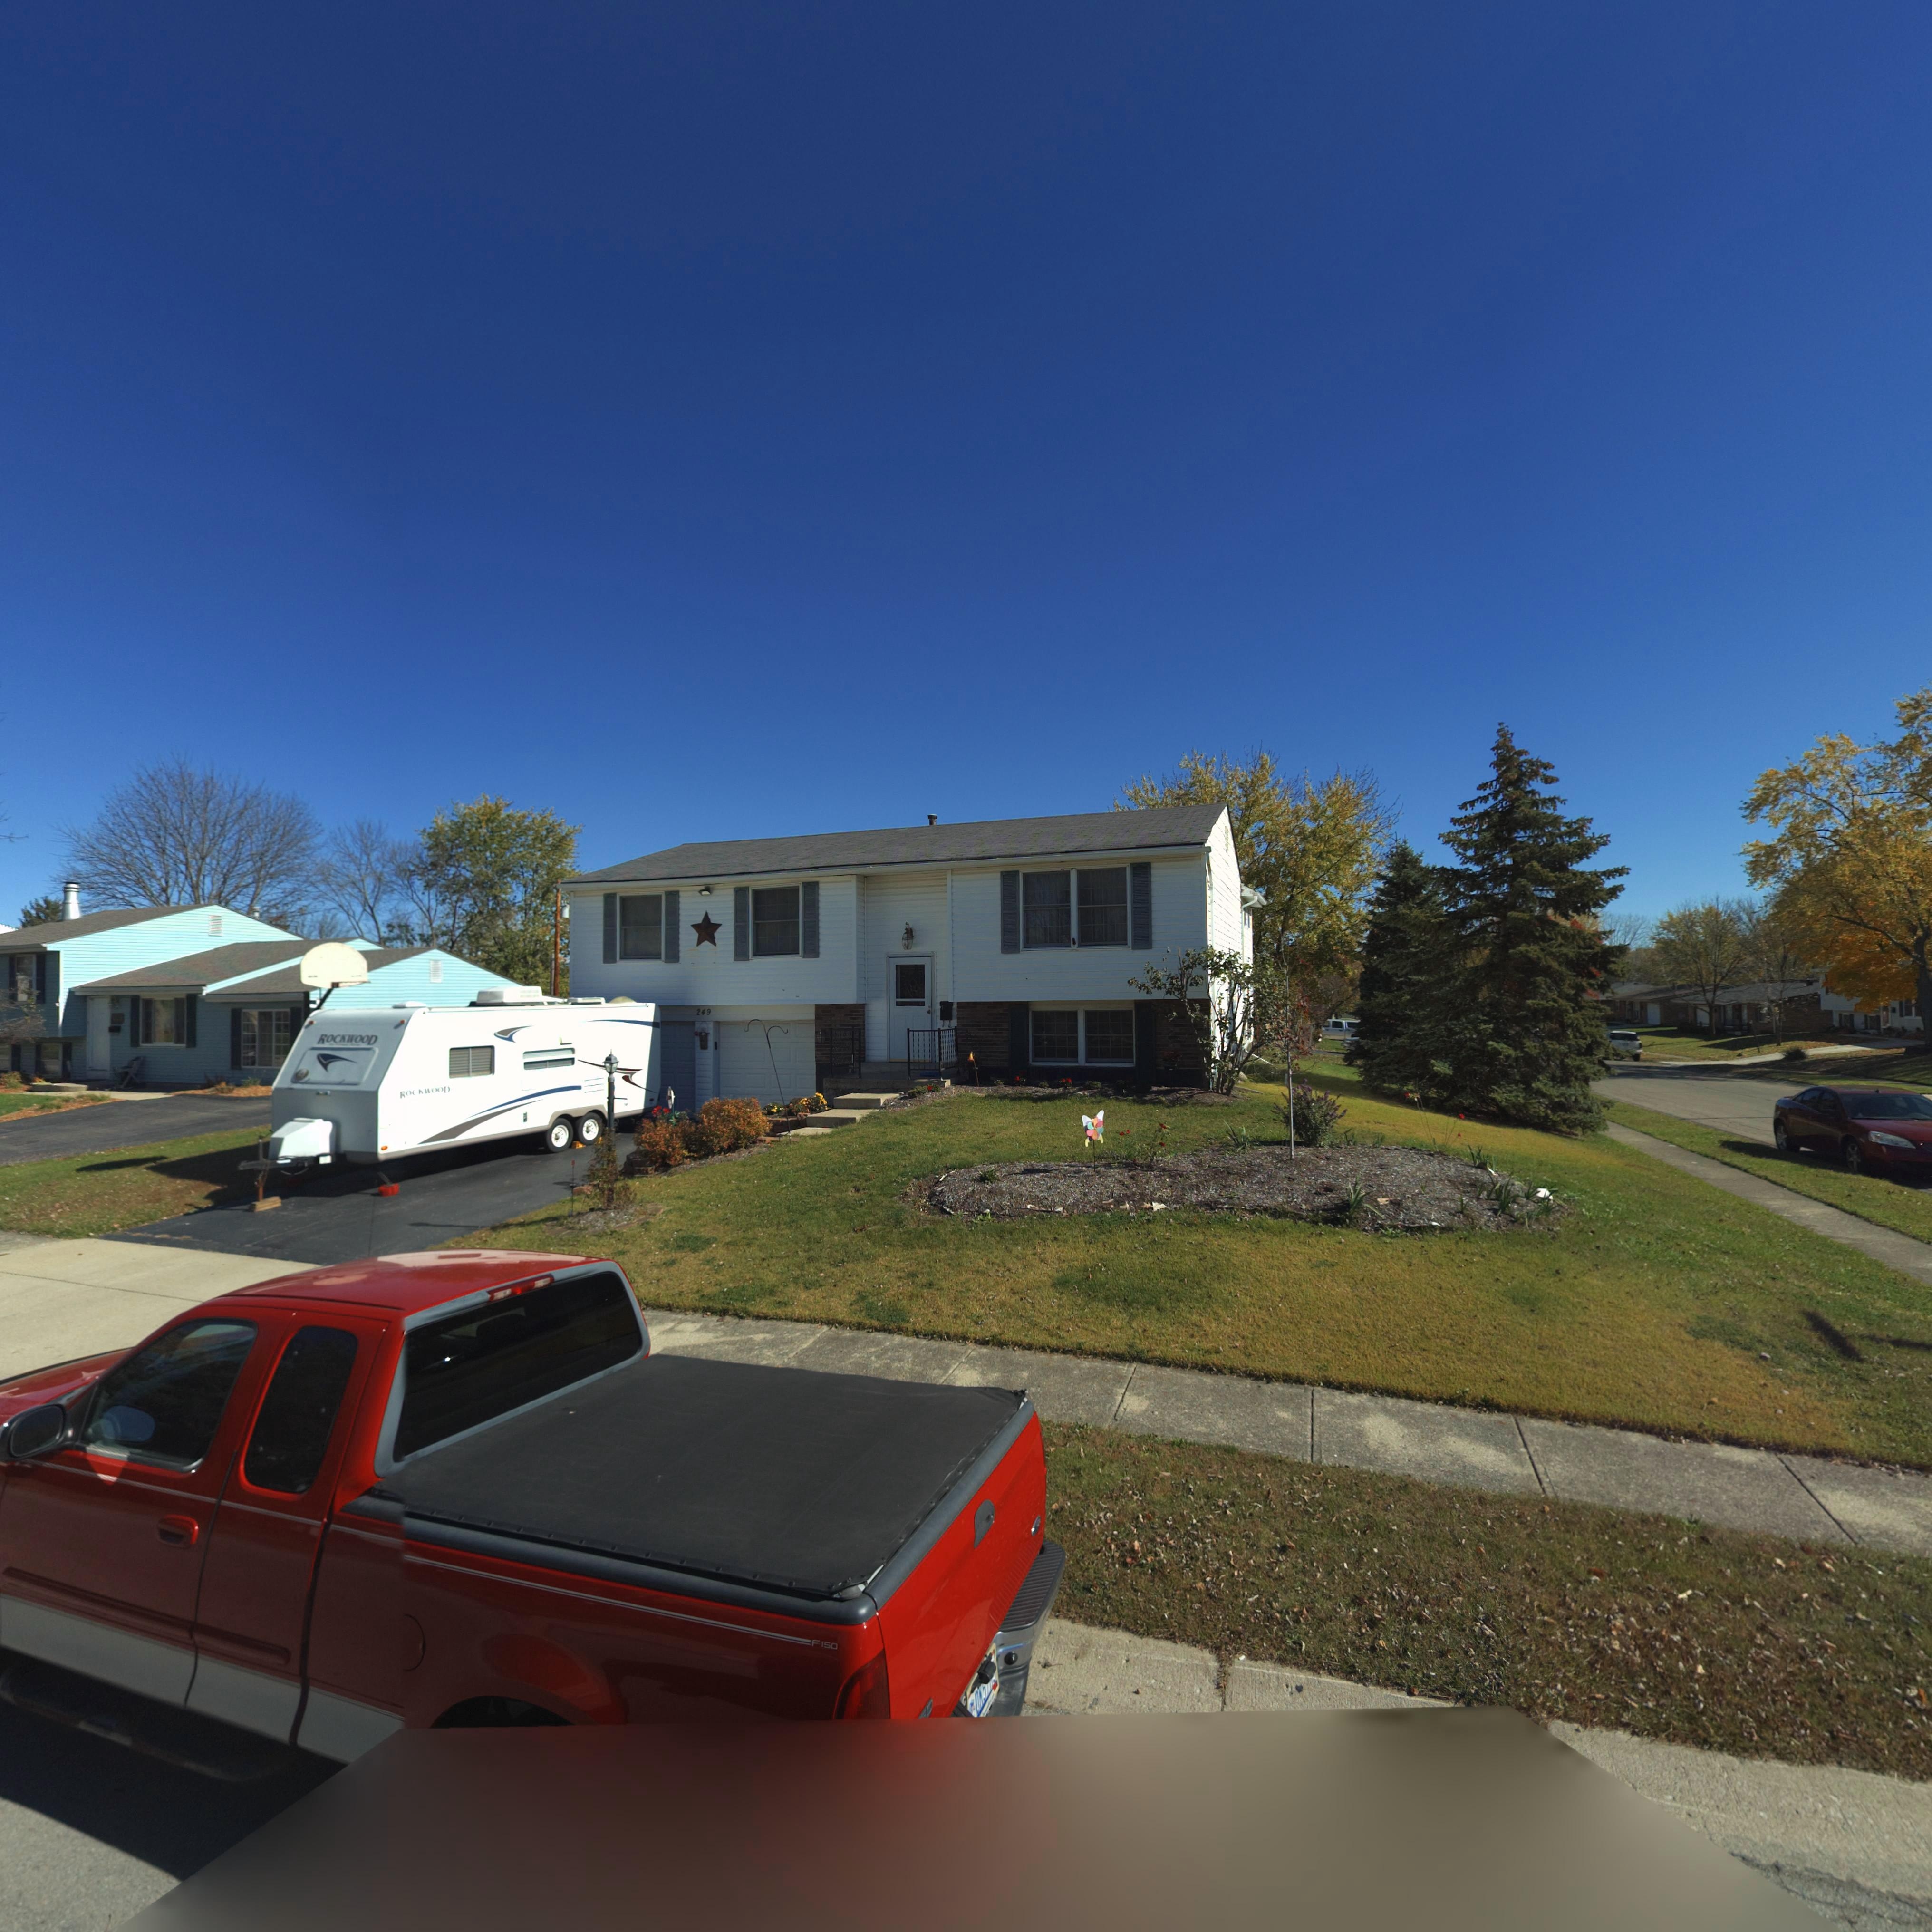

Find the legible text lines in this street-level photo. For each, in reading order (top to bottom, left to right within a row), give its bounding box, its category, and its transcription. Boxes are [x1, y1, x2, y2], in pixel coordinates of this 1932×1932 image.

[696, 1007, 712, 1016] StreetNumber: 249